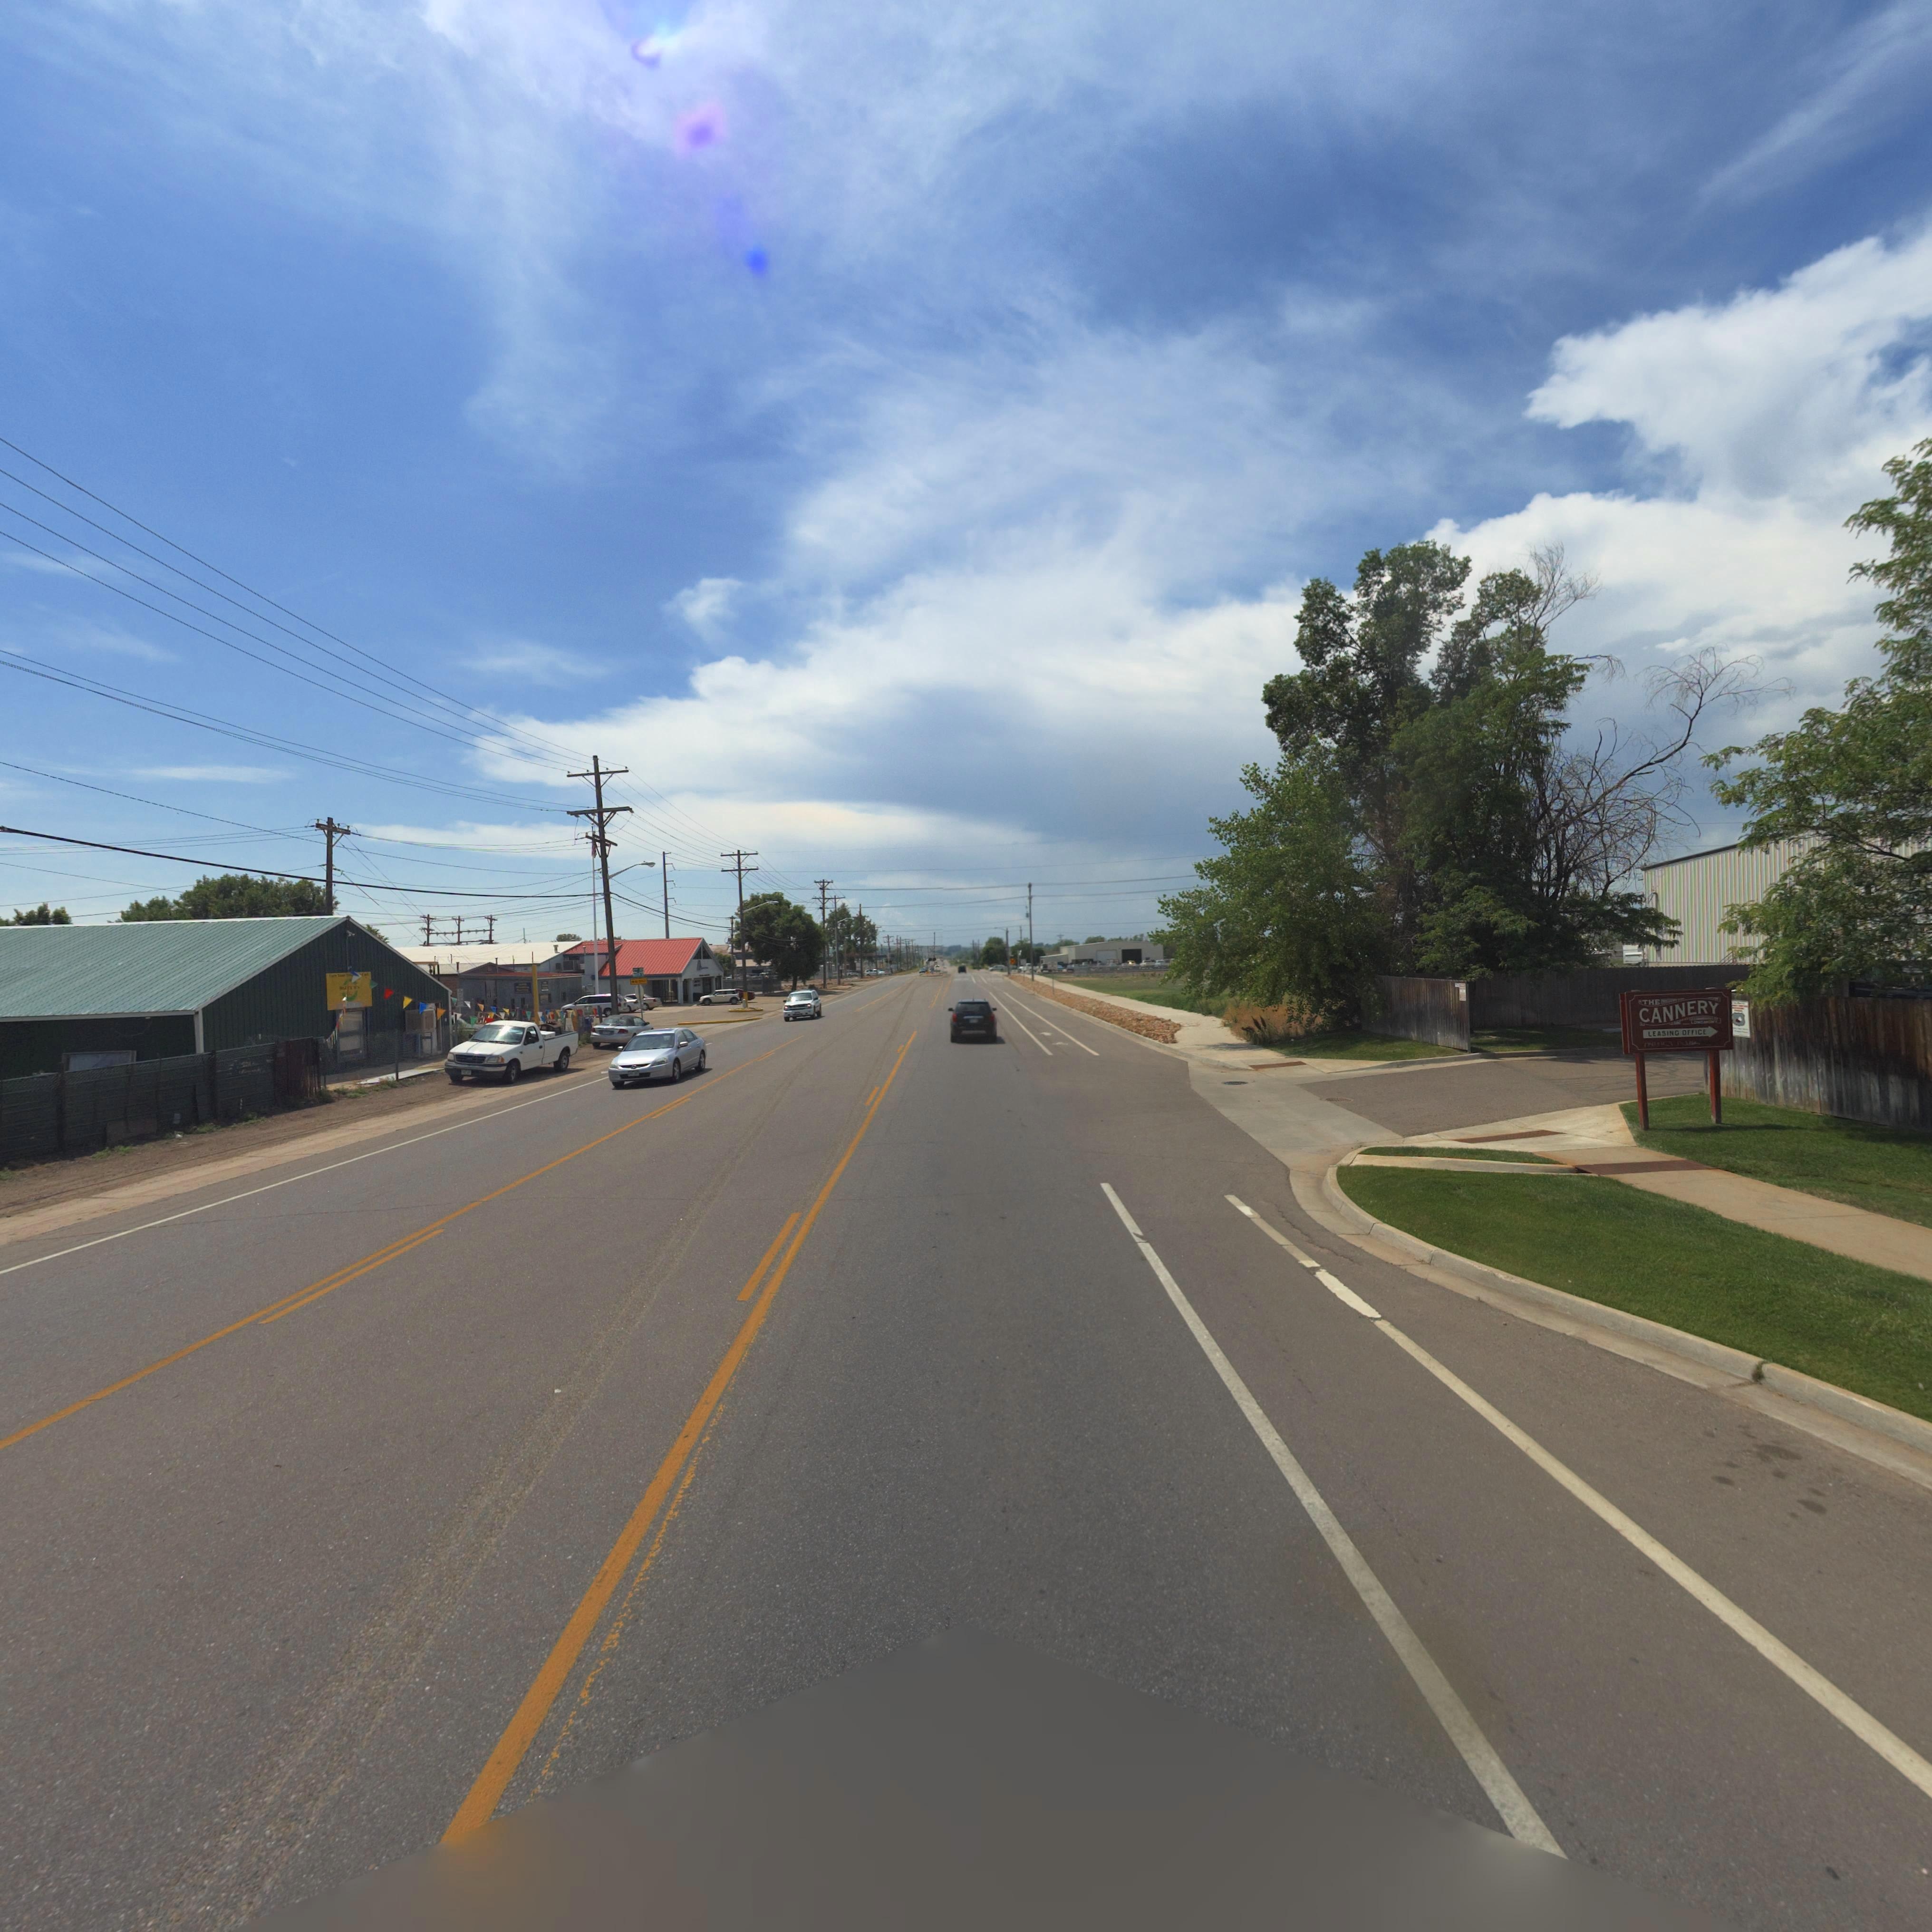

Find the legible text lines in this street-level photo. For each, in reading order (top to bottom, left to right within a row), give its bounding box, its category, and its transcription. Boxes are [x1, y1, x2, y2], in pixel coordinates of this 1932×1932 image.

[1641, 999, 1661, 1005] BusinessName: THE
[1639, 999, 1719, 1024] BusinessName: CANNERY